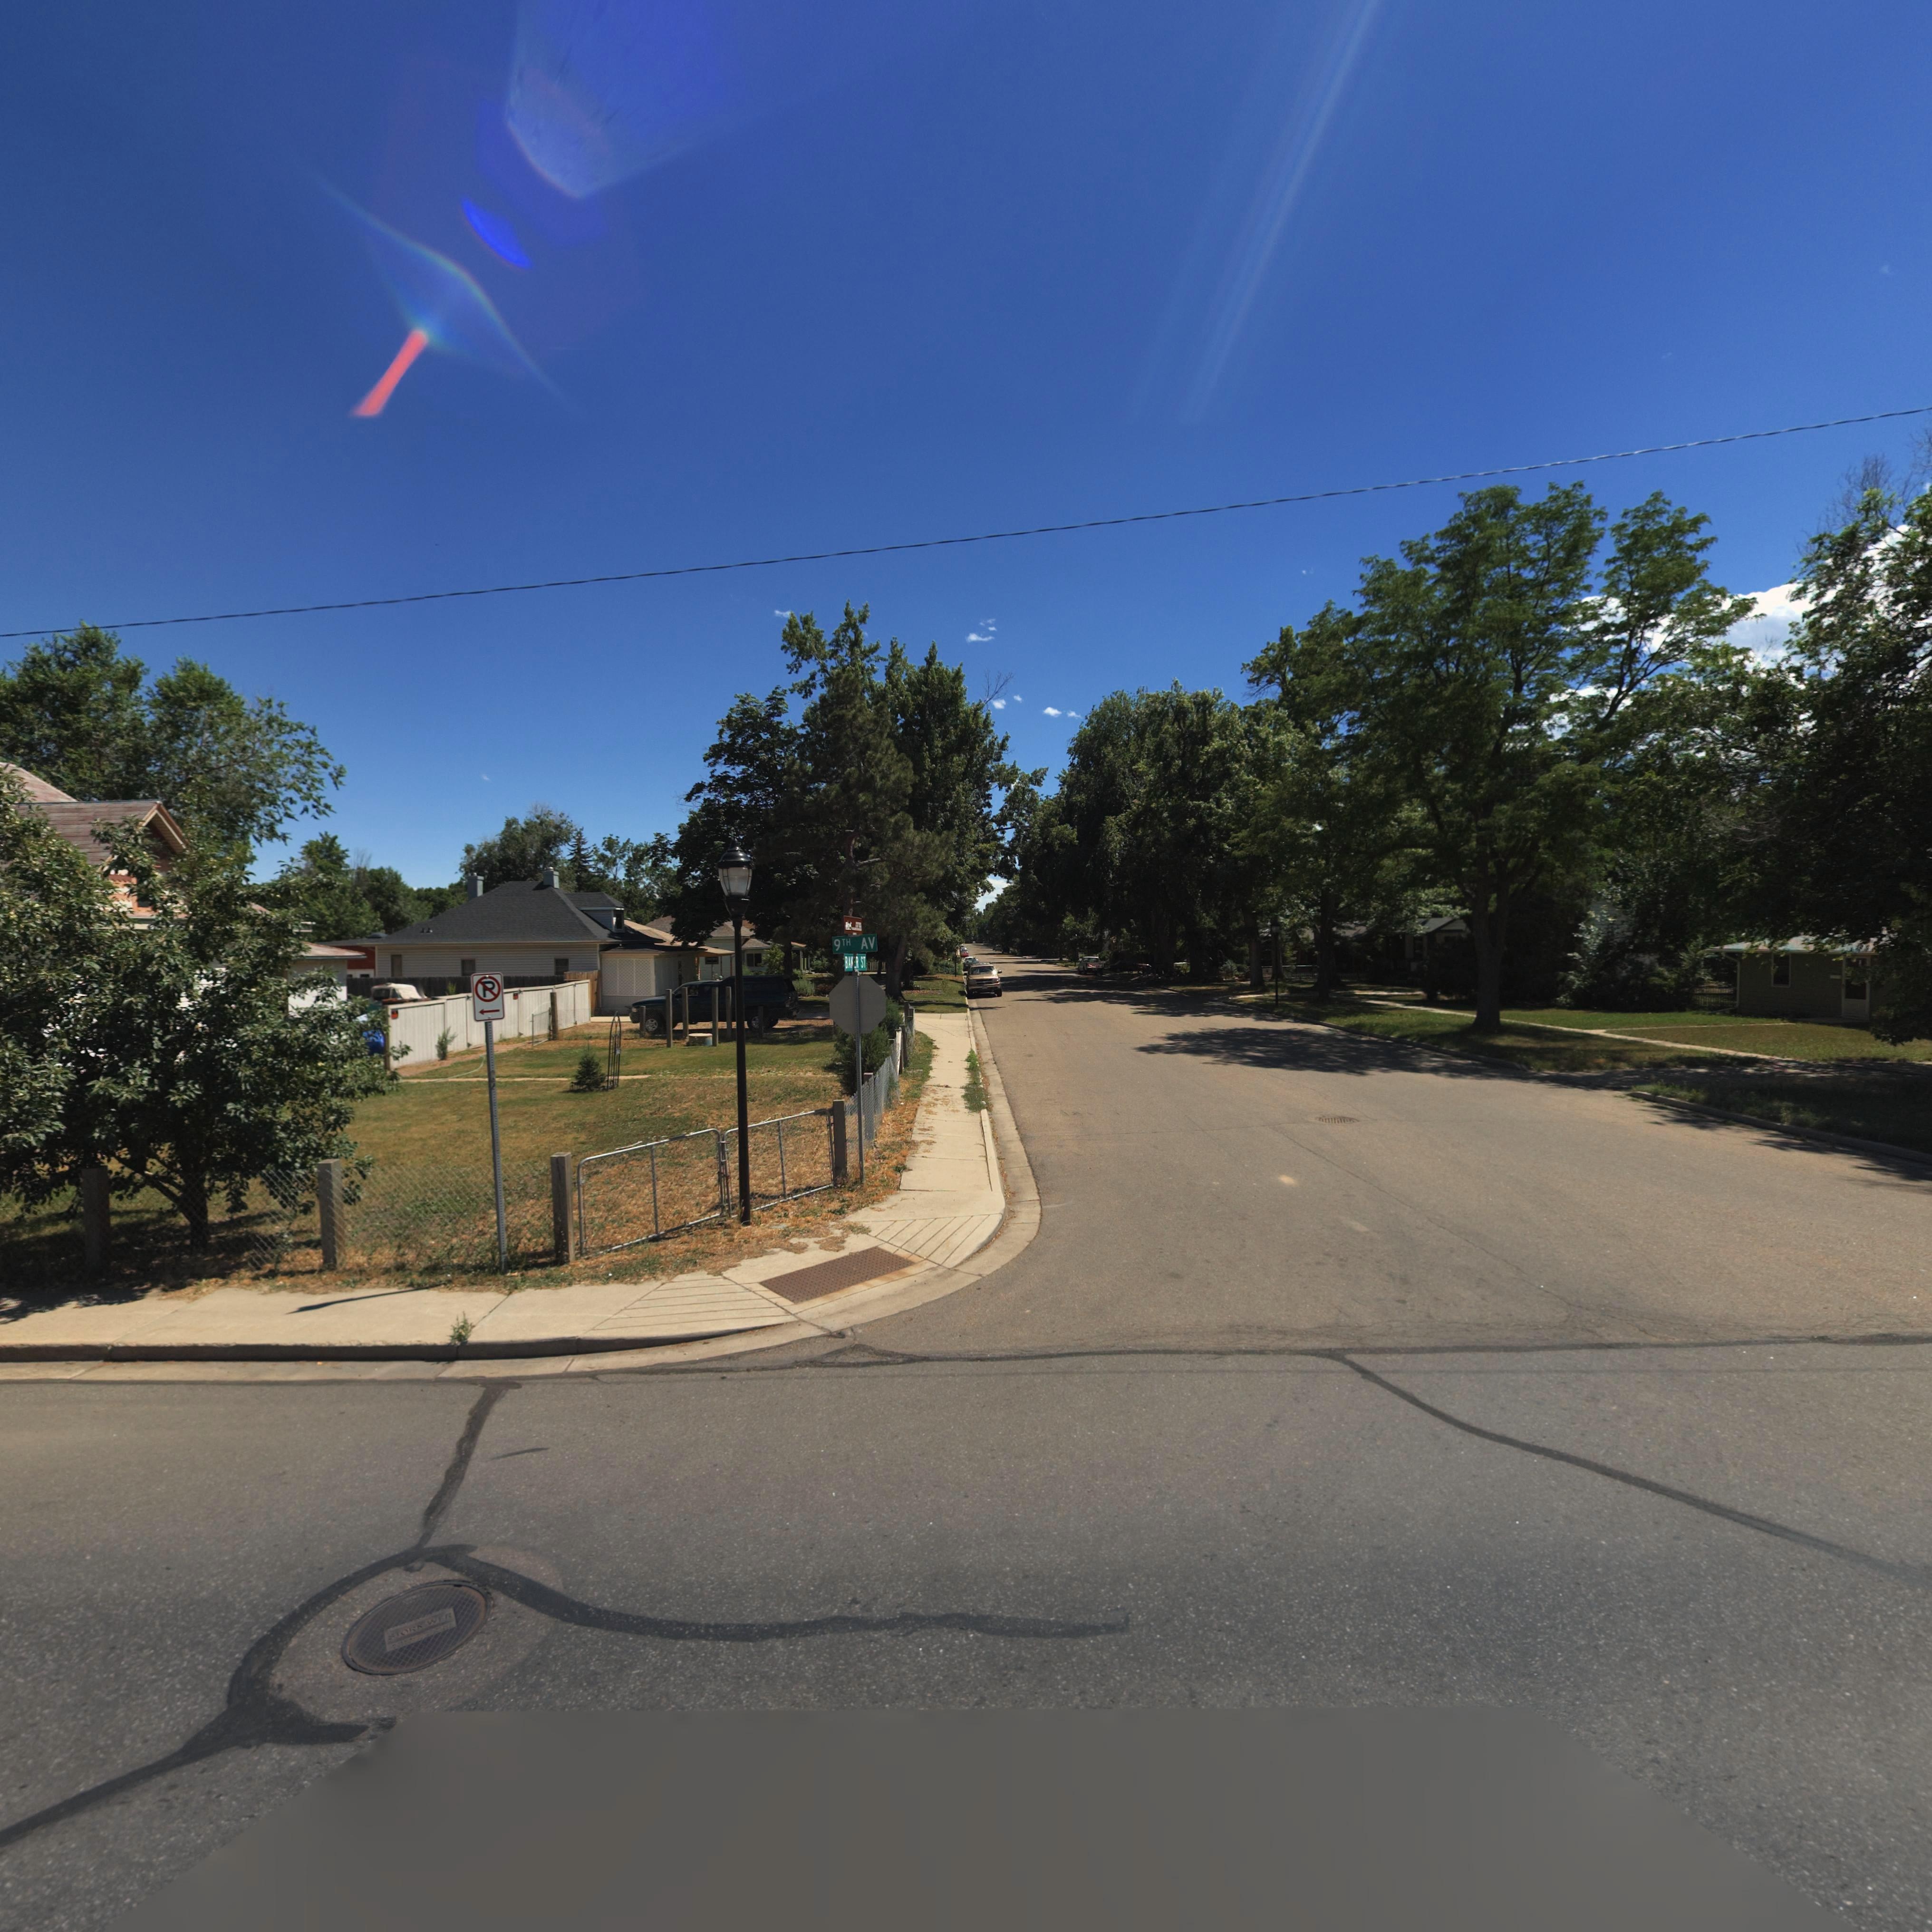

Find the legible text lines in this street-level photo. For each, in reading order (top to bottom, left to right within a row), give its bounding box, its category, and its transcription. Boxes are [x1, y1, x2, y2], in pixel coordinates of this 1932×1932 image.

[833, 936, 875, 951] StreetName: 9TH AV 
[845, 956, 865, 969] StreetName: BAKER ST